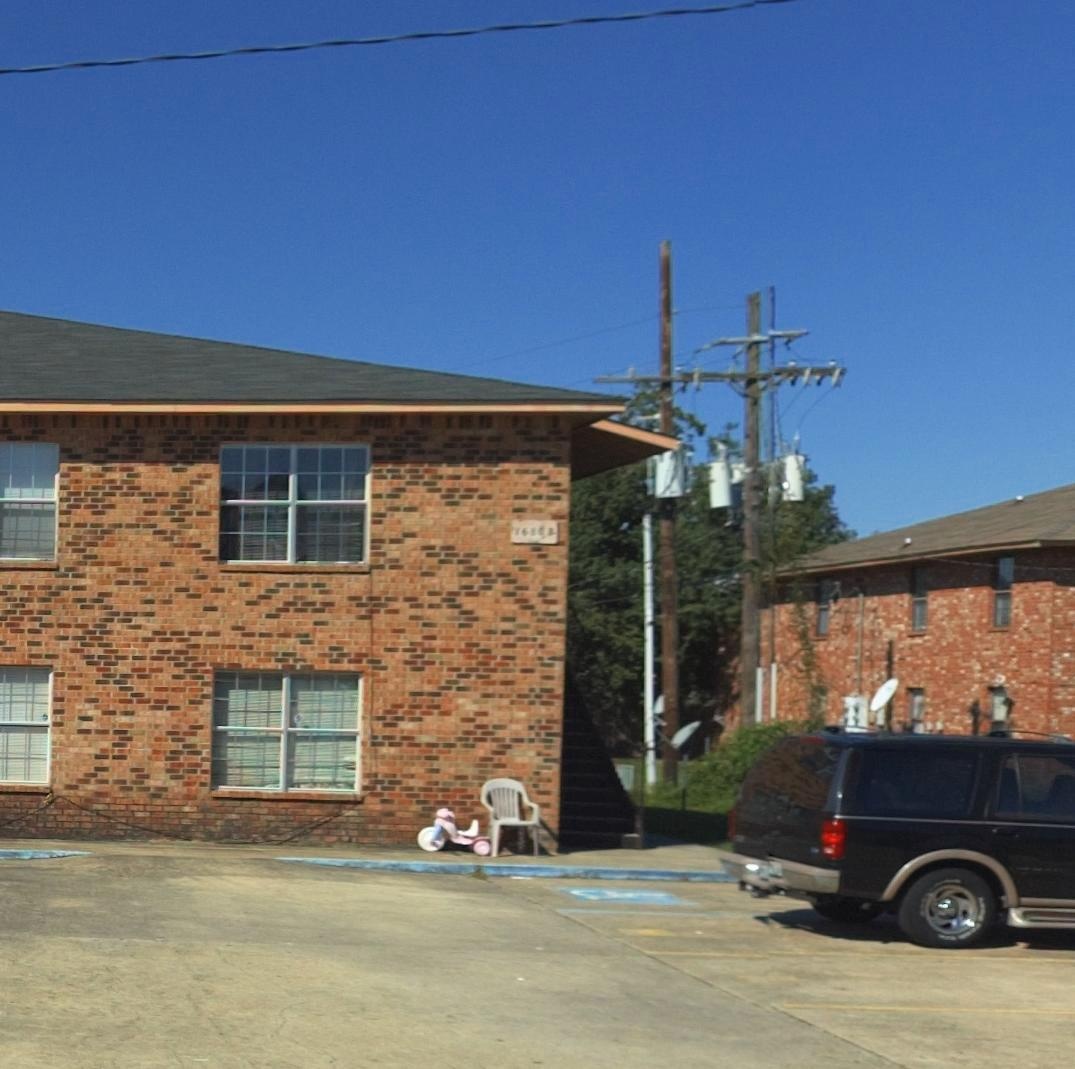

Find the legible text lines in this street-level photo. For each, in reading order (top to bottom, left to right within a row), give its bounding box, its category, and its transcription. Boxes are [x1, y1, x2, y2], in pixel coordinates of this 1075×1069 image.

[514, 524, 557, 539] StreetNumber: 16** B